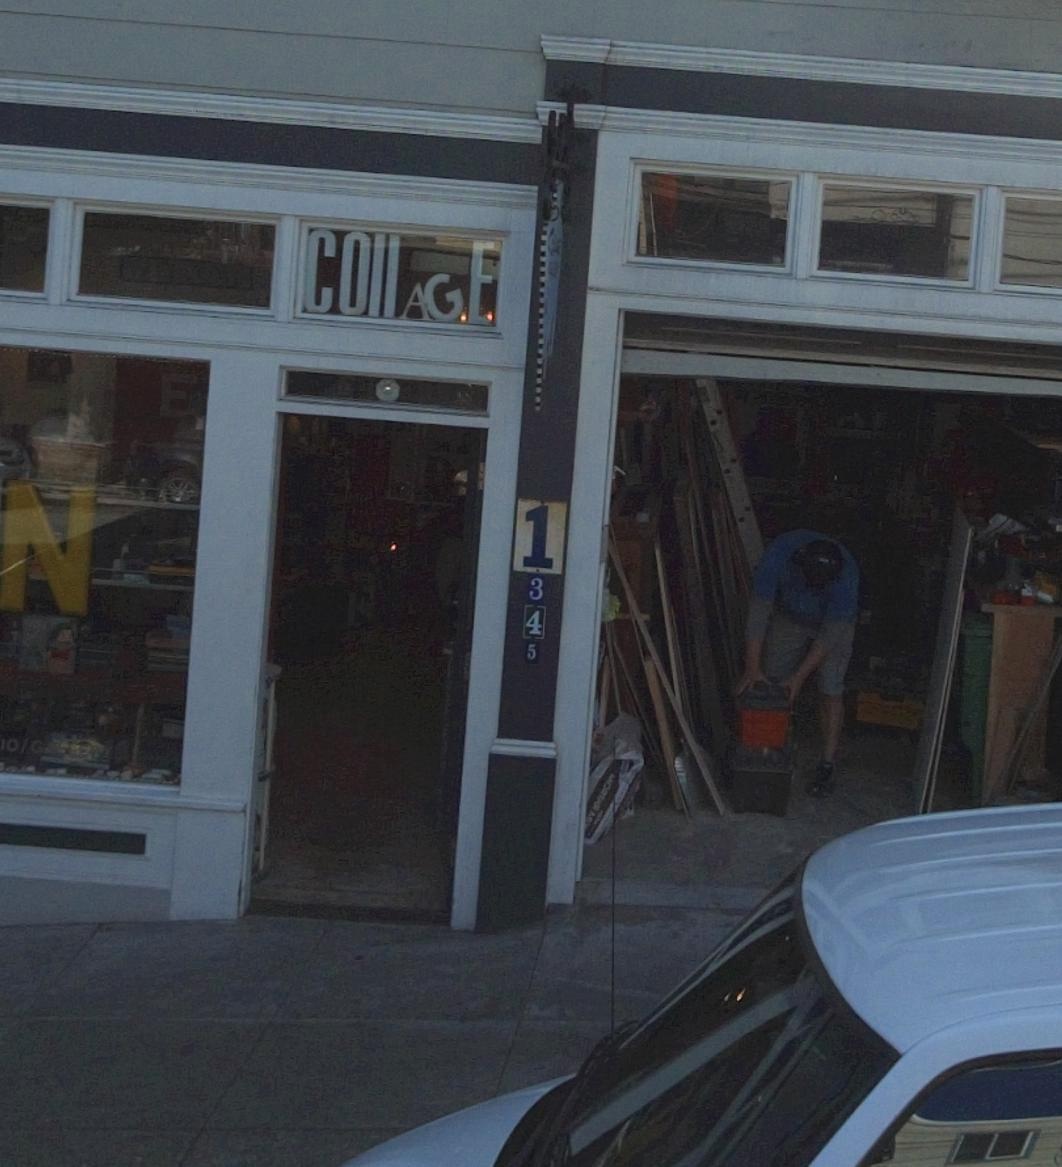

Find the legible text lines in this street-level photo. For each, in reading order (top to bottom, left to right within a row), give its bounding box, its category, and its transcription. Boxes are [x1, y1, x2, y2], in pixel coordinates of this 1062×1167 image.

[303, 228, 497, 327] BusinessName: COLLAGE
[159, 371, 200, 423] None: E
[1, 479, 98, 617] None: N
[522, 501, 555, 662] StreetNumber: 1345
[6, 737, 45, 755] None: O/G